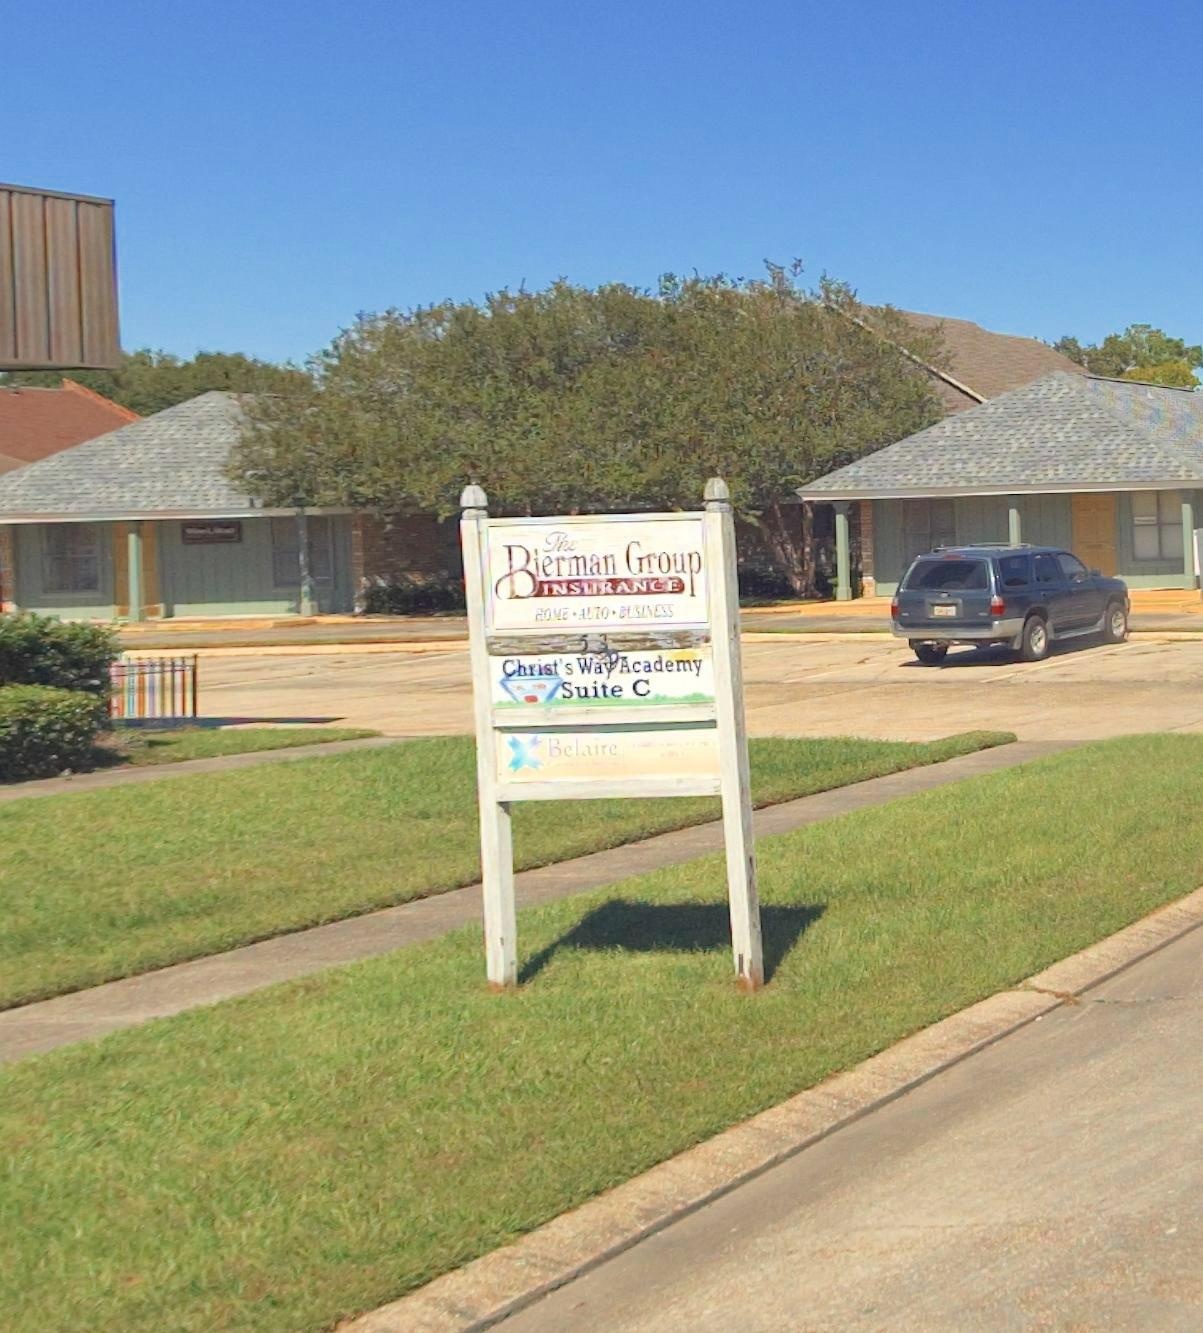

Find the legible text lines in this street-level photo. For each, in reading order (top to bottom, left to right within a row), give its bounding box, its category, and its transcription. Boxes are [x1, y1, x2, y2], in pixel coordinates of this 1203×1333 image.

[539, 529, 583, 555] BusinessName: The
[492, 536, 706, 604] BusinessName: Bierman Group
[541, 577, 682, 597] None: INSURANCE
[532, 602, 676, 624] None: HOME*AUTO*BUSINESS
[575, 631, 615, 656] StreetNumber: 53
[499, 653, 705, 683] BusinessName: Christ's Wa* Academy
[559, 676, 654, 702] SecondaryUnitDesignator: Suite C
[547, 734, 621, 760] BusinessName: Belaire